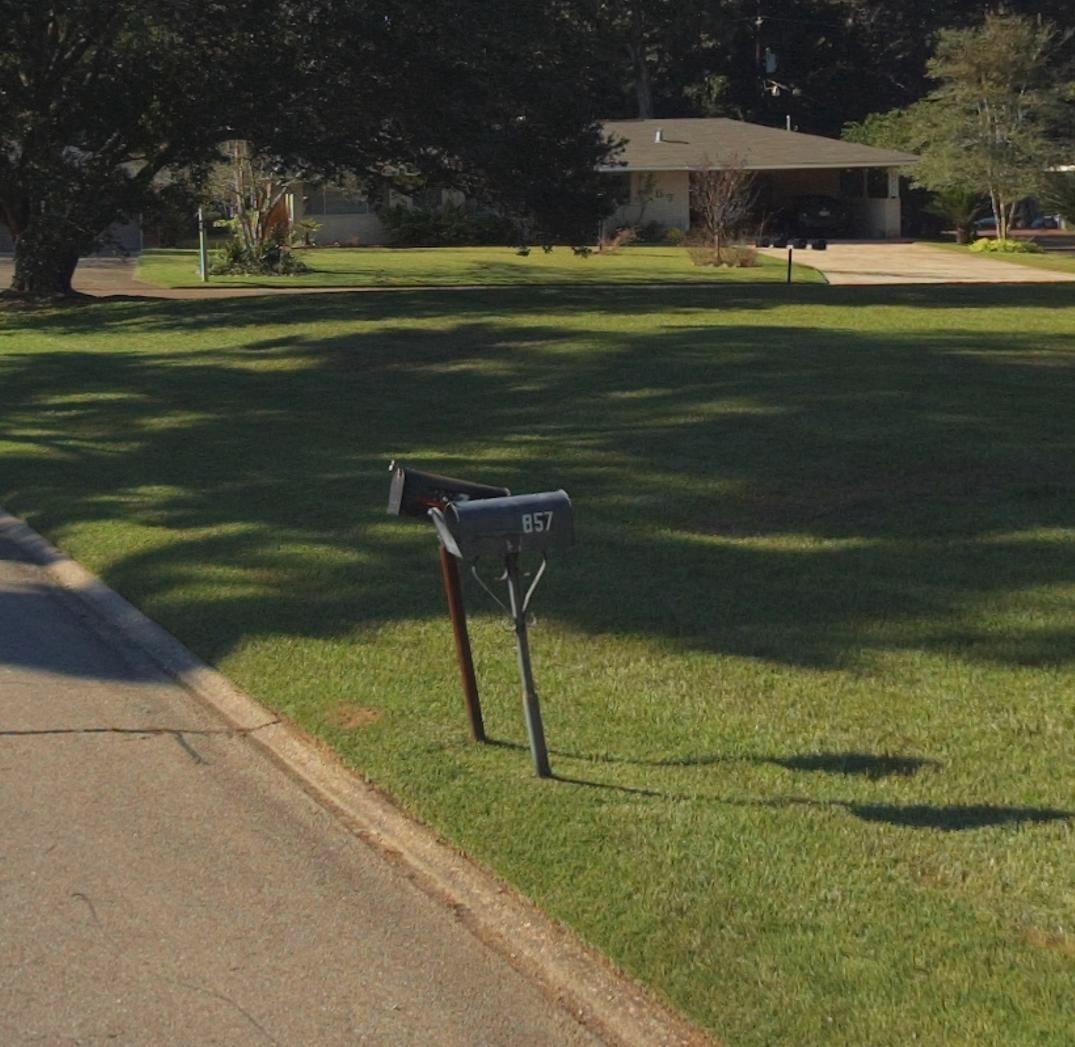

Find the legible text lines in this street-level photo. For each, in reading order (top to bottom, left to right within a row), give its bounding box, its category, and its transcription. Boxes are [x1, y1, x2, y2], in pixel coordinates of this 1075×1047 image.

[521, 509, 555, 535] StreetNumber: 857